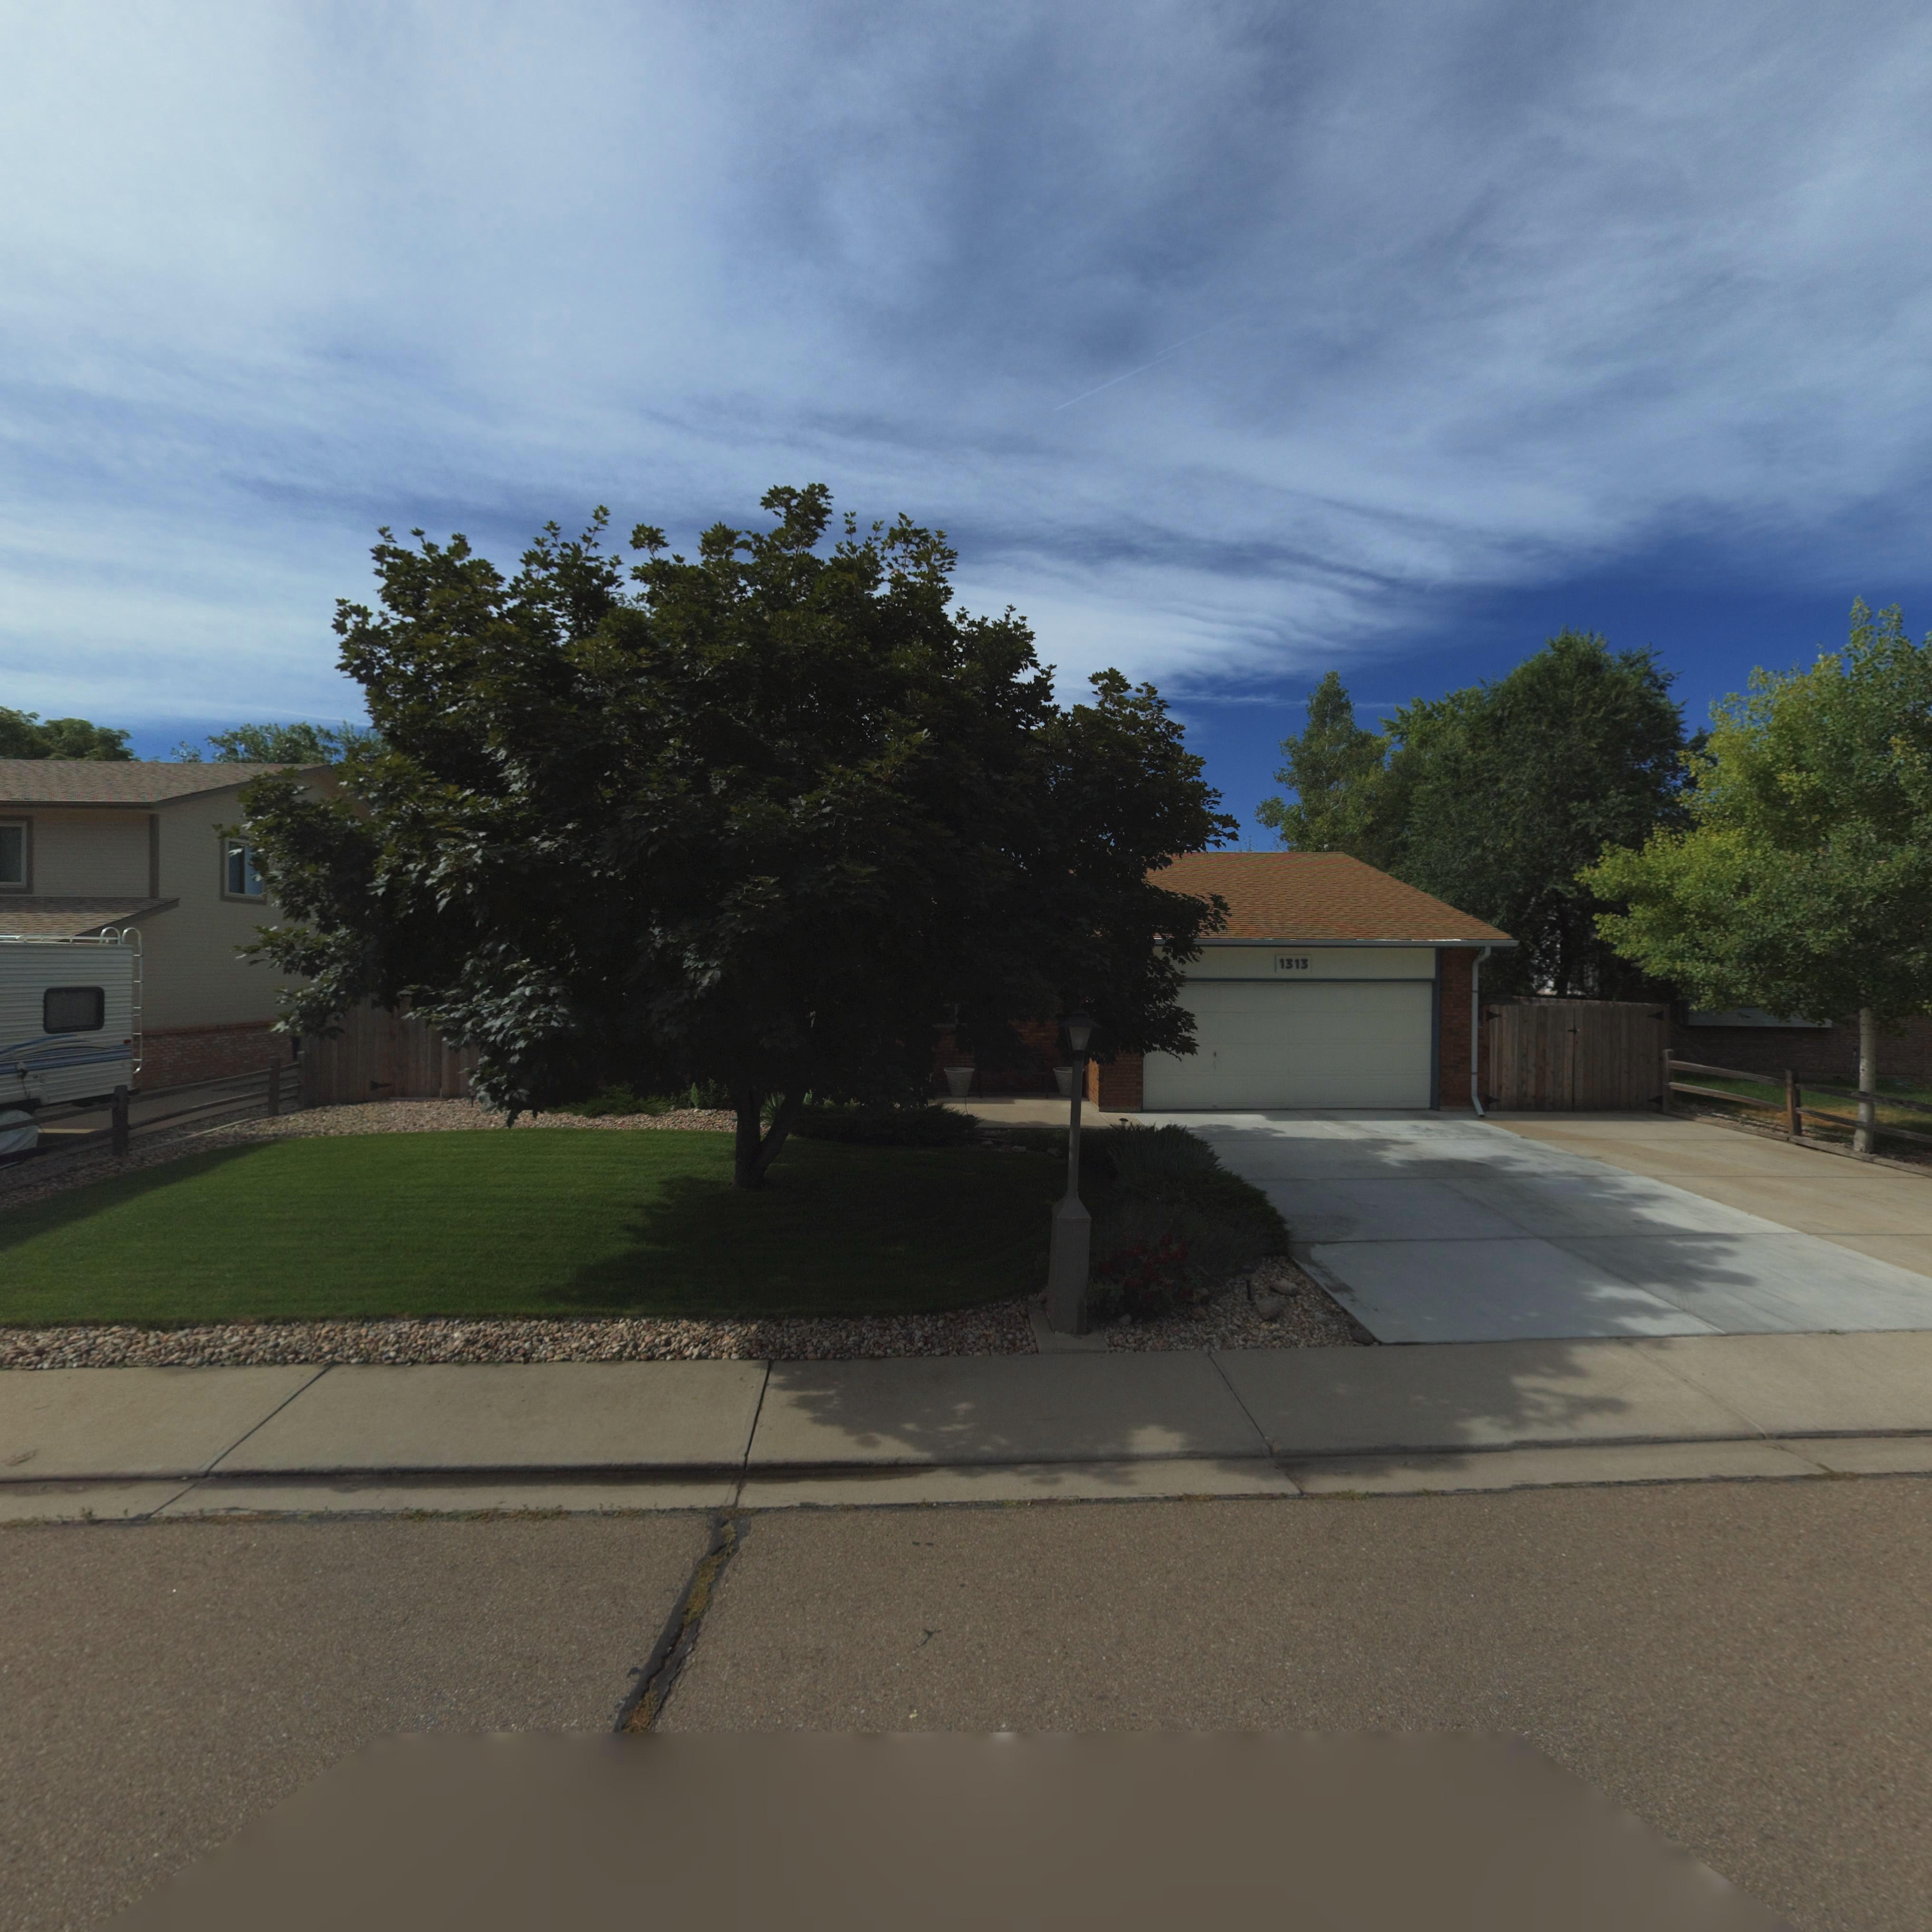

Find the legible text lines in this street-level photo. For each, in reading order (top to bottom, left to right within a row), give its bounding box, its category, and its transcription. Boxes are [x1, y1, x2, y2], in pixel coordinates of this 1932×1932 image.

[1278, 958, 1309, 969] StreetNumber: 1313